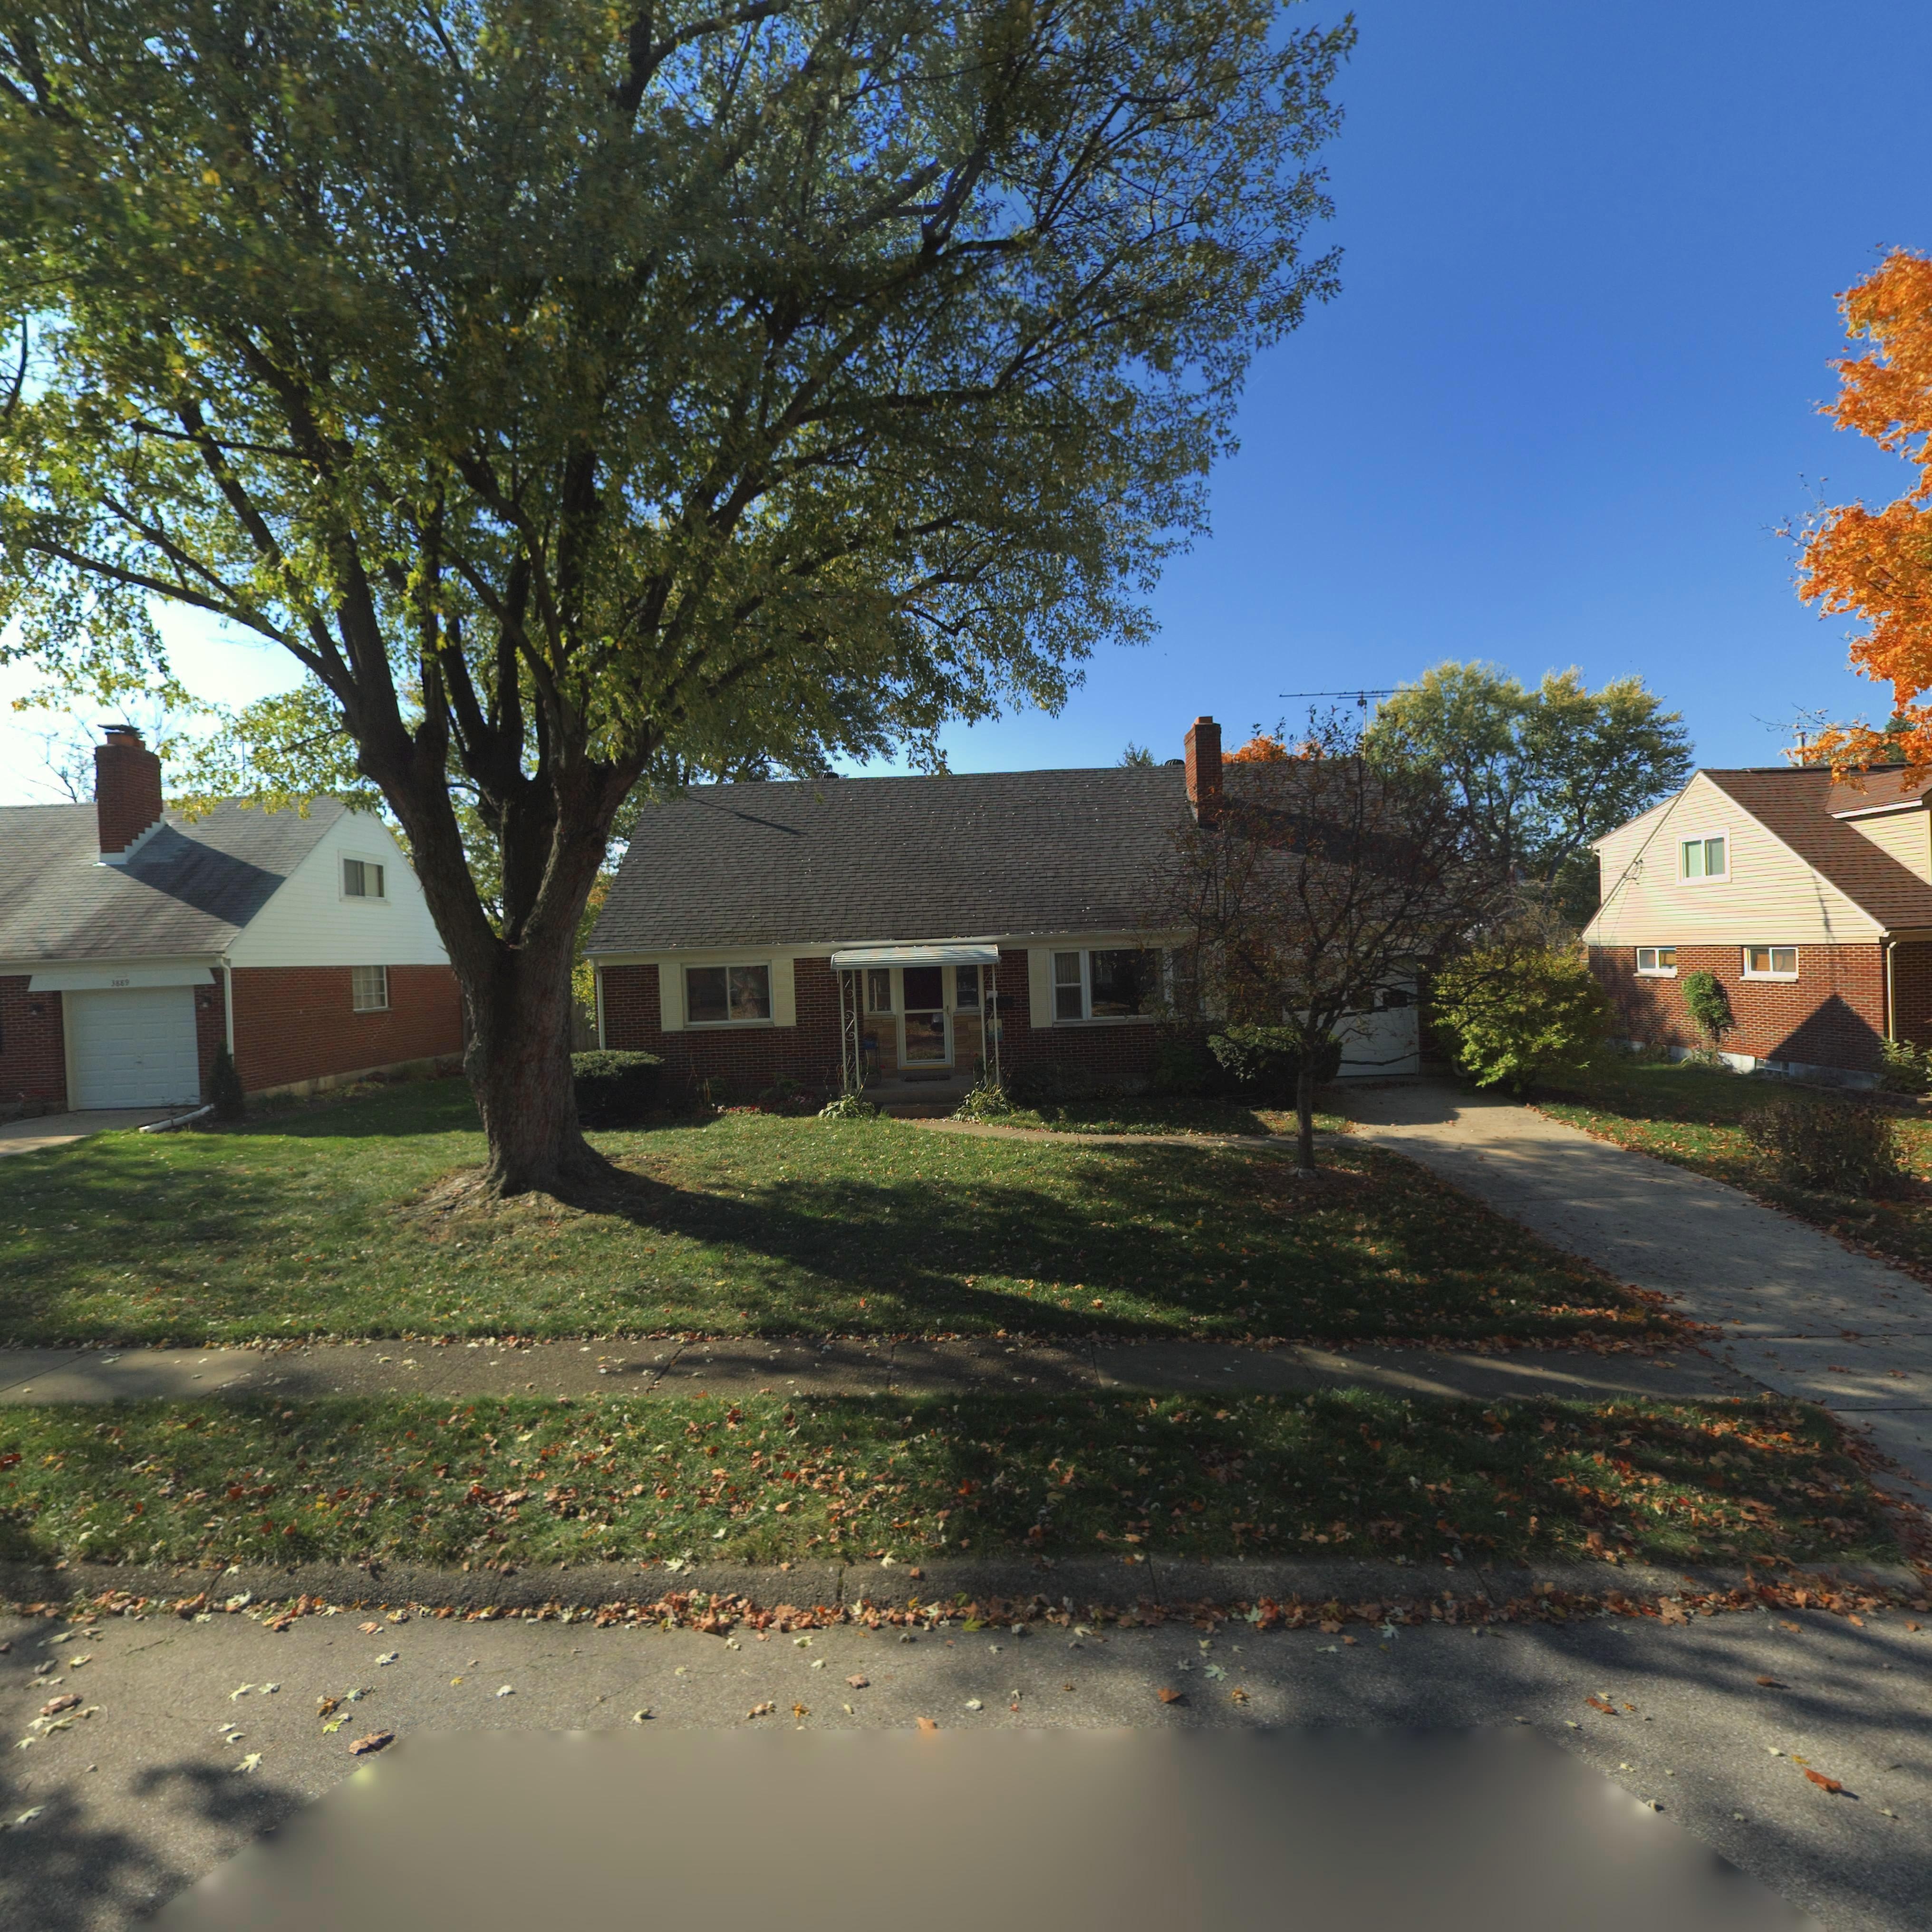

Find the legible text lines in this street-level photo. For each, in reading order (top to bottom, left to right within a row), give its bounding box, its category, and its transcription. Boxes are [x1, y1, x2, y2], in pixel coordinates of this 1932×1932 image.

[110, 978, 130, 987] StreetNumber: 3889